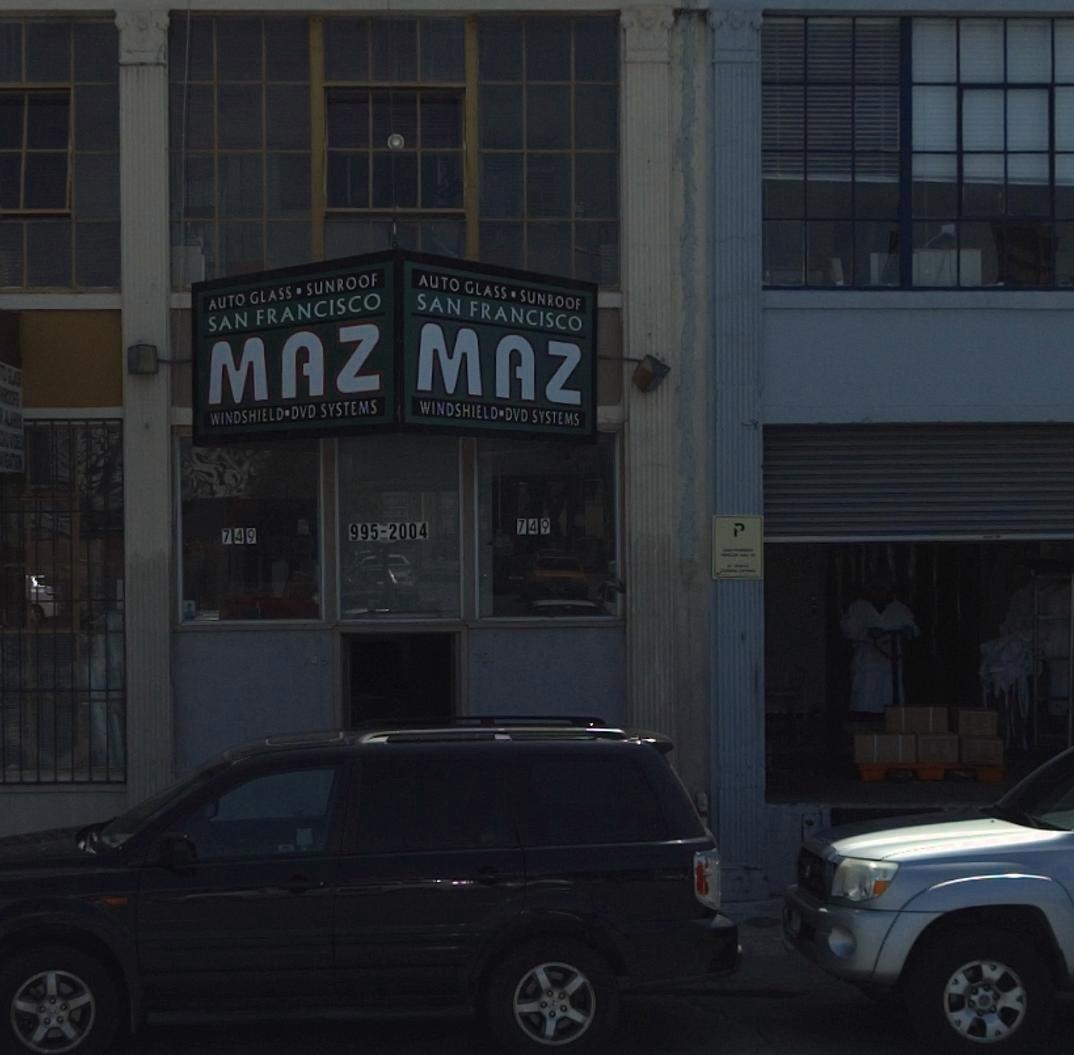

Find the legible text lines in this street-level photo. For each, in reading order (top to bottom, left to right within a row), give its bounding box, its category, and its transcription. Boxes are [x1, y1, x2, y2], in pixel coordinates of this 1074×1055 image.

[206, 272, 380, 311] None: AUTO GLASS - SUNROOF
[207, 291, 384, 333] None: SAN FRANCISCO
[417, 273, 582, 312] None: AUTO GLASS - SUNROOF
[415, 291, 585, 333] None: SAN FRANCISCO
[206, 320, 382, 405] BusinessName: MAZ
[415, 320, 586, 407] BusinessName: MAZ
[207, 397, 379, 427] None: WINDSHIELD-DVD SYSTEMS
[417, 399, 582, 427] None: WINDSHIELD-DVD SYSTEMS
[222, 529, 255, 543] StreetNumber: 749
[349, 522, 428, 542] None: 995-2004
[517, 519, 550, 534] StreetNumber: 749